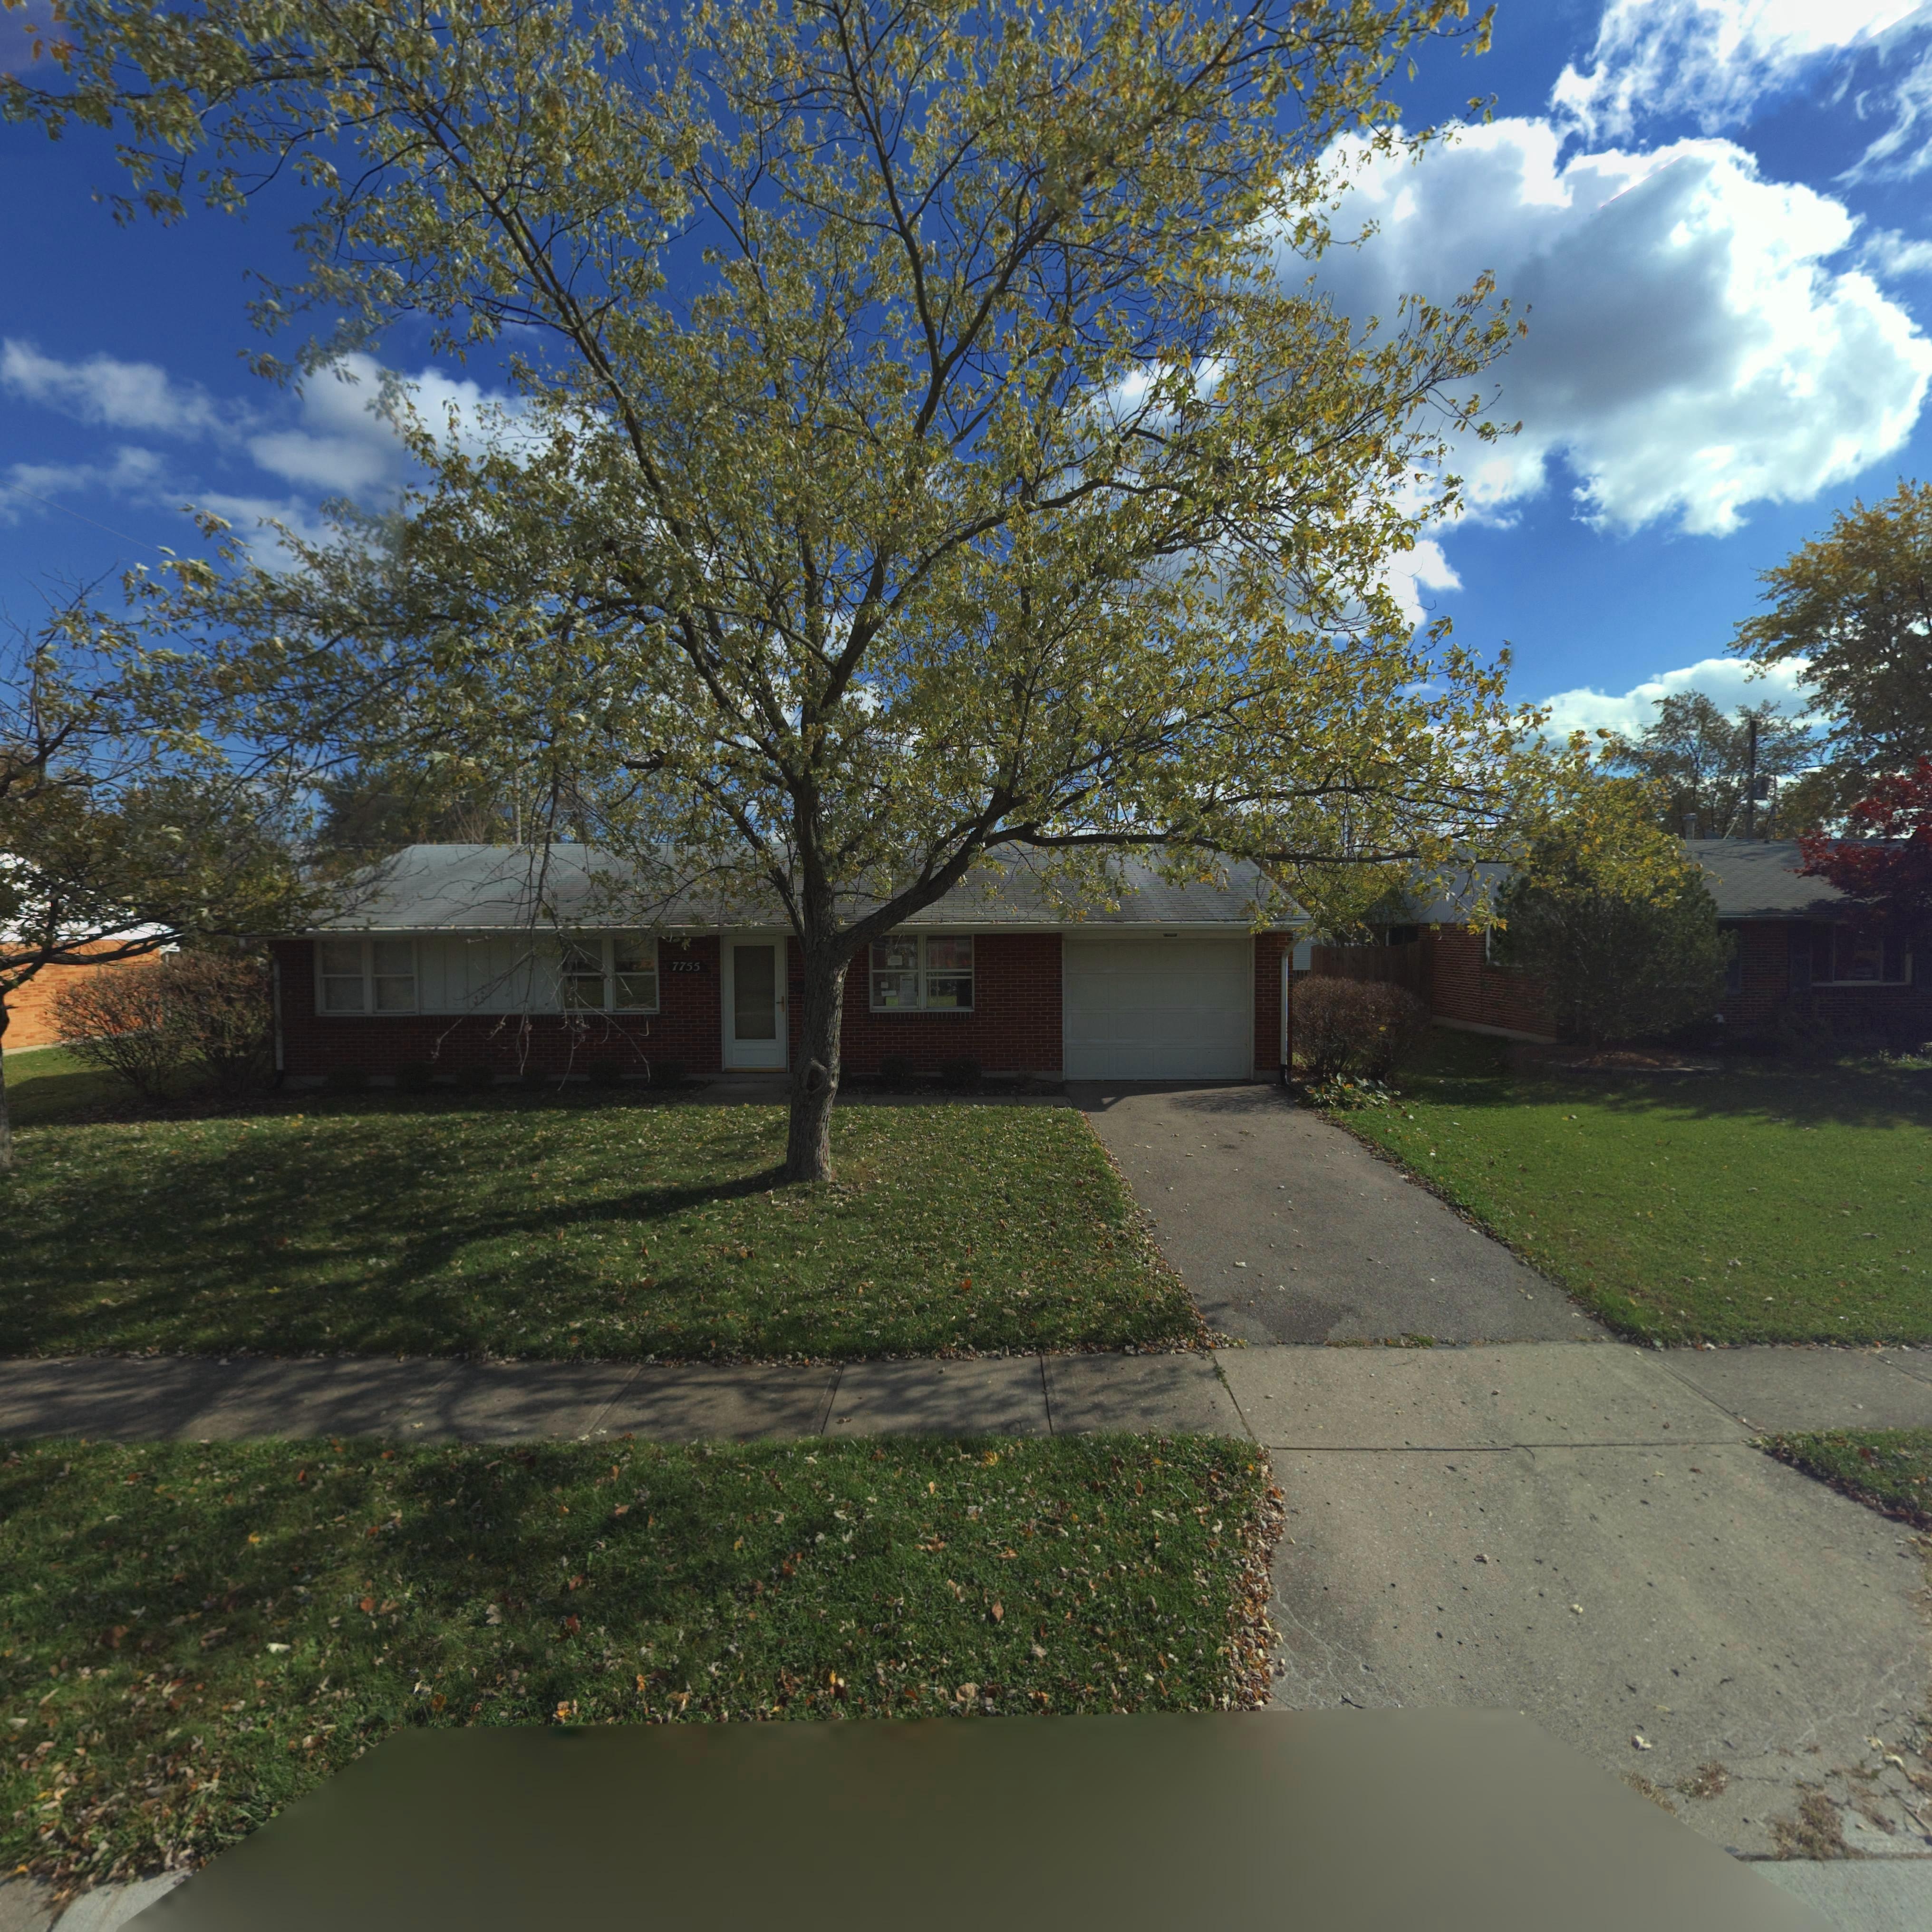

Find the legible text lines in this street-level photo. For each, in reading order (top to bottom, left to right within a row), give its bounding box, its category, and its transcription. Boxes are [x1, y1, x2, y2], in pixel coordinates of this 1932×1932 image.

[672, 961, 700, 972] StreetNumber: 7755